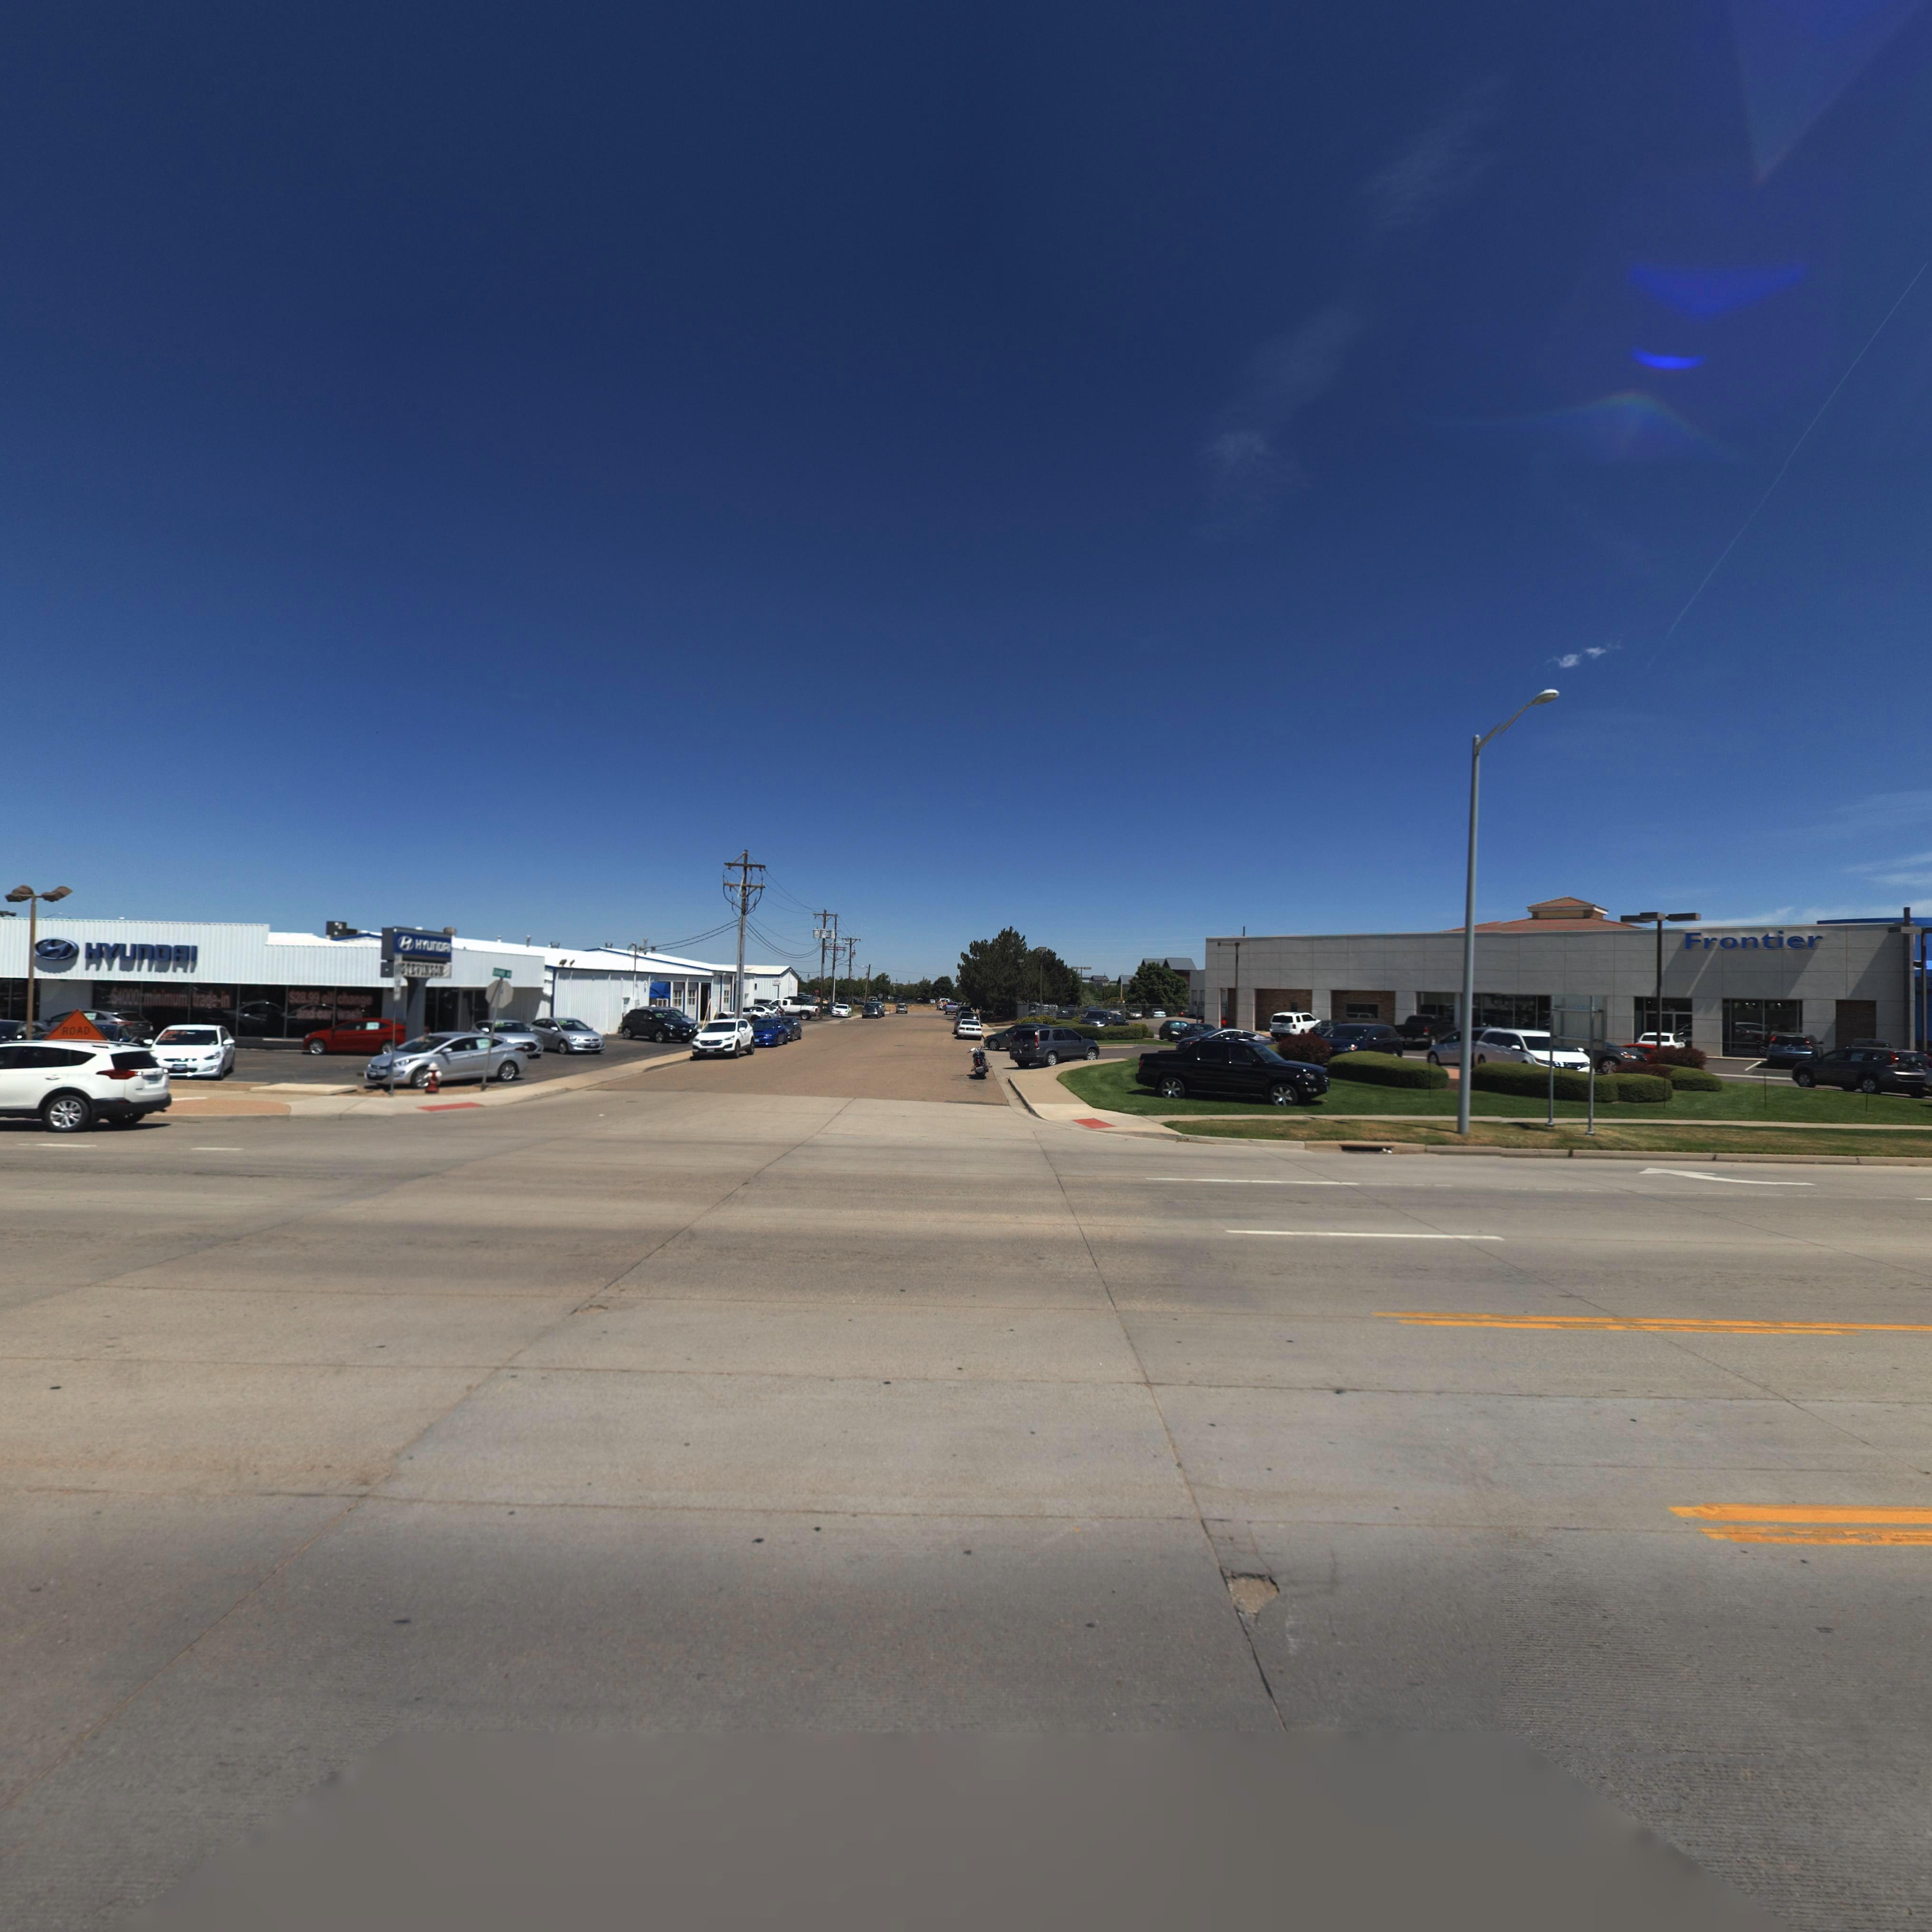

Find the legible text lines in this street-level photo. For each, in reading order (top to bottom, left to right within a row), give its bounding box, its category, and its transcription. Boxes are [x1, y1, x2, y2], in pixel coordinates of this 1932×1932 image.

[85, 942, 198, 962] BusinessName: HYUNDAI
[414, 938, 451, 953] BusinessName: HYUNDAI
[1684, 929, 1825, 951] BusinessName: Frontier
[400, 963, 444, 976] BusinessName: STEVINSON
[493, 968, 512, 977] StreetName: GRAND *V